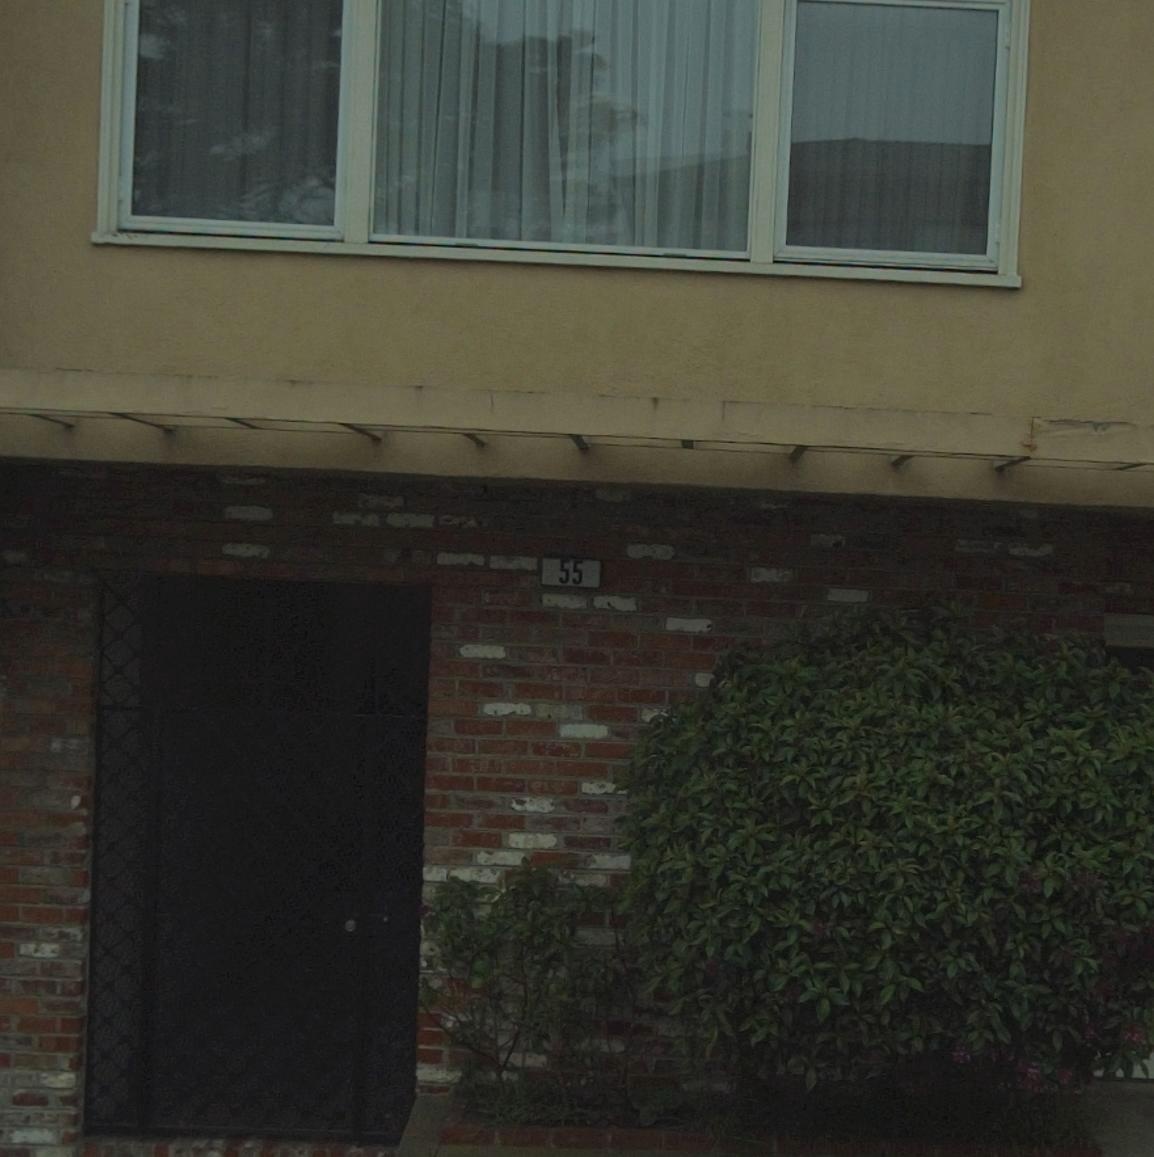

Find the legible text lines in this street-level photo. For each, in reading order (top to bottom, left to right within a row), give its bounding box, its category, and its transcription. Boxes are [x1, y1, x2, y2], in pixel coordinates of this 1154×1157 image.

[557, 558, 585, 585] StreetNumber: 55